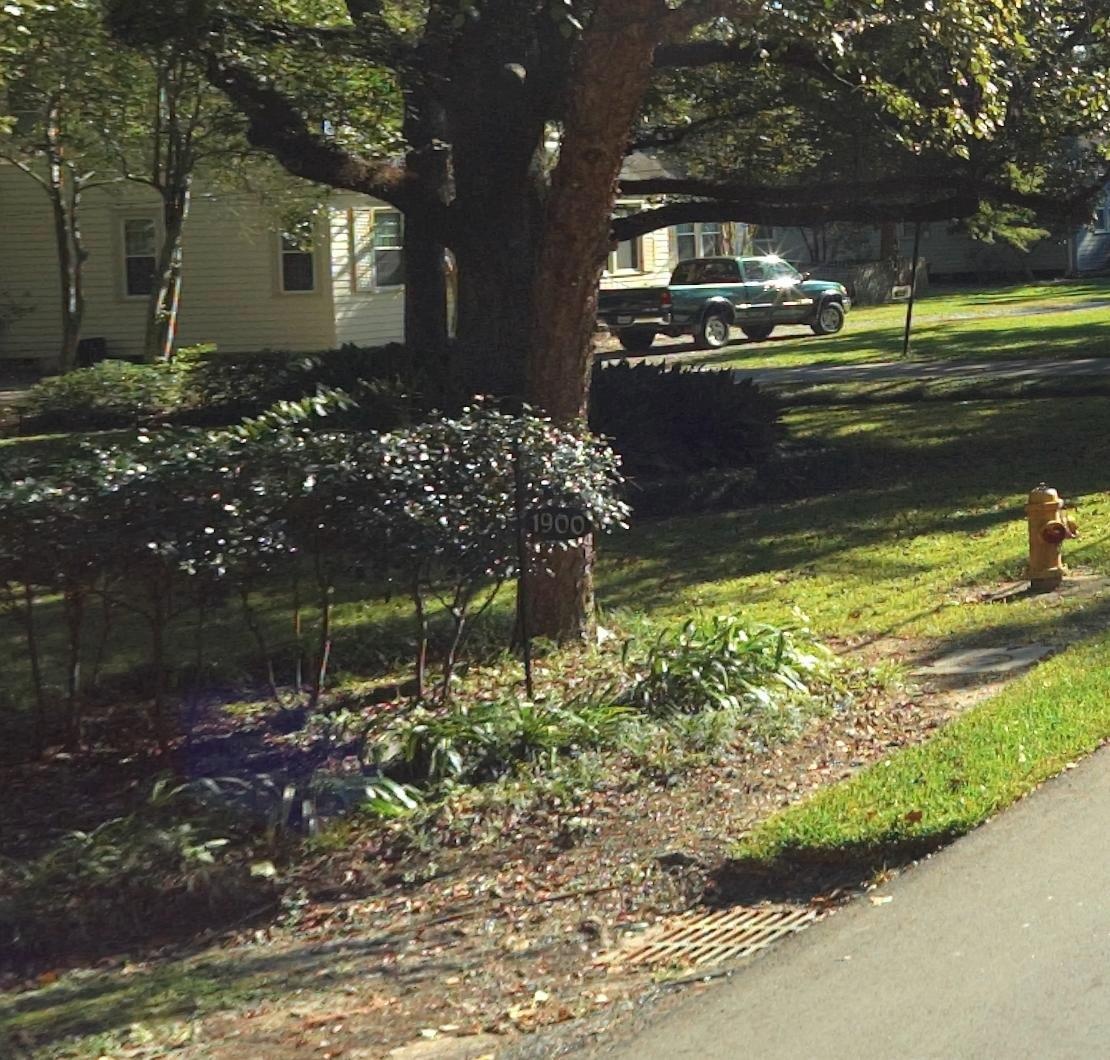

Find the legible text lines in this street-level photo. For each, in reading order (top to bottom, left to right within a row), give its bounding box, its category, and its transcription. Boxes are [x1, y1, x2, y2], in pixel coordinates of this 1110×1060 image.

[531, 510, 587, 538] StreetNumber: 1900